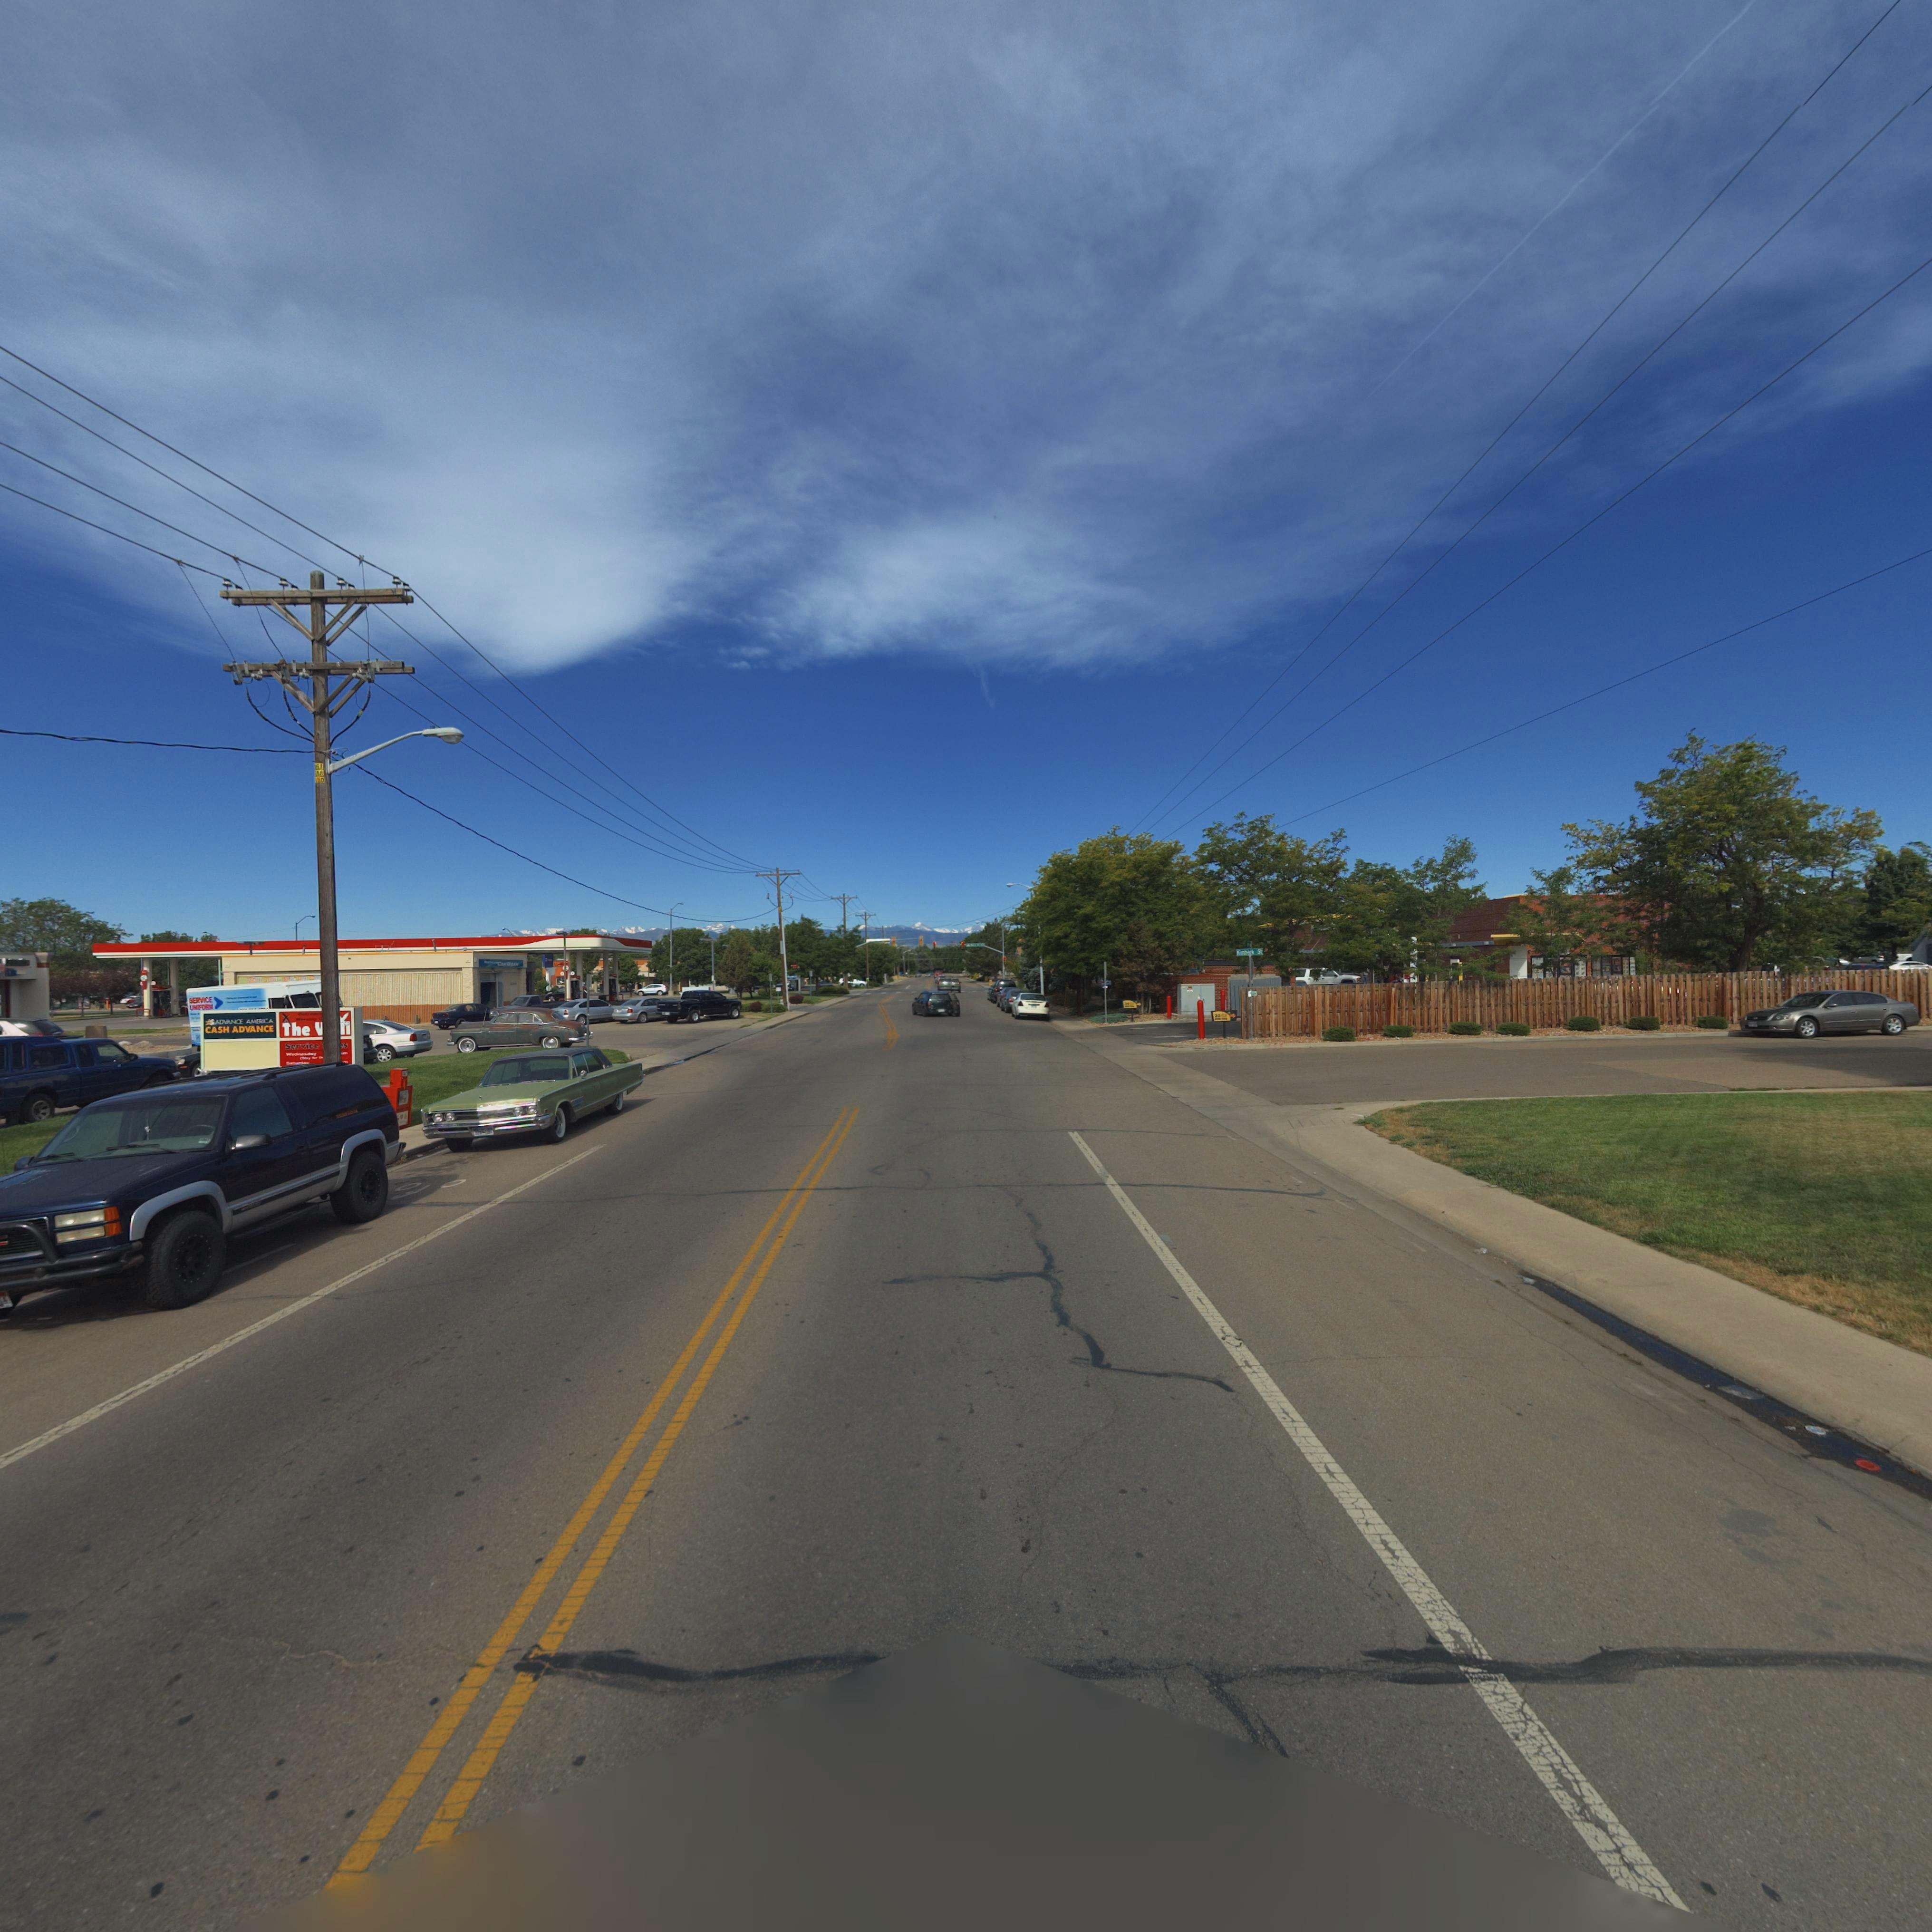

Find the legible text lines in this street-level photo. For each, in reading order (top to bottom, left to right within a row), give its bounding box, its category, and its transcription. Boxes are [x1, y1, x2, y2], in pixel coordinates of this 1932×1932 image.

[1236, 948, 1263, 955] StreetName: K***ark St
[214, 1018, 274, 1025] BusinessName: ADVANCE AMERICA
[203, 1024, 274, 1034] BusinessName: CASH ADVANCE
[281, 1020, 352, 1037] BusinessName: The ***
[285, 1042, 348, 1050] BusinessName: Service ****s